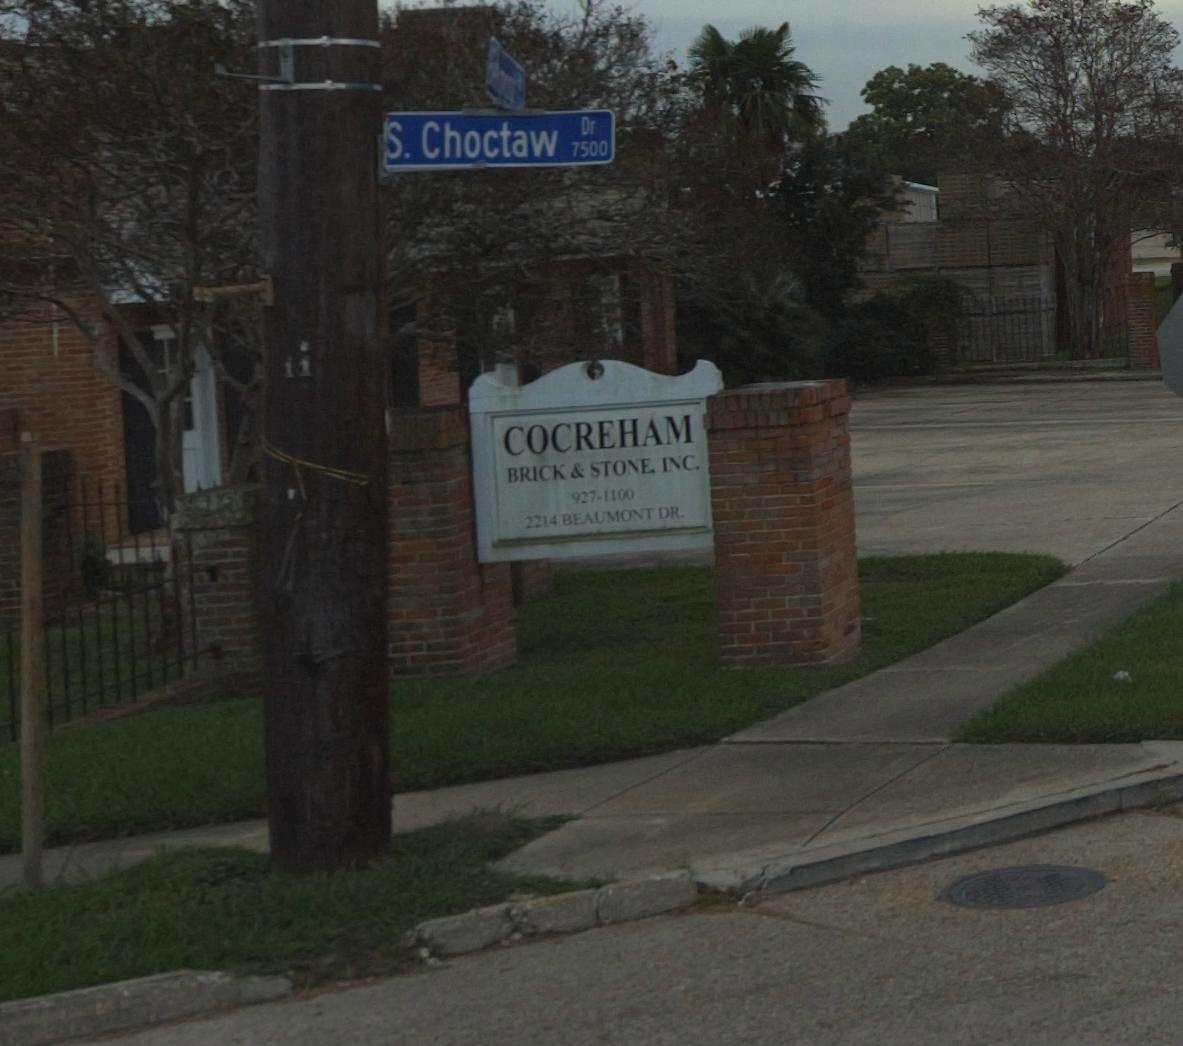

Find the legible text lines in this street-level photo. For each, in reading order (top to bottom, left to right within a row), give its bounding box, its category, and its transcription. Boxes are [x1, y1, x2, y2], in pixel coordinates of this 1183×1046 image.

[384, 114, 598, 161] StreetName: S. Choctaw Dr
[571, 139, 609, 157] StreetNumberRange: 7500
[502, 412, 695, 458] BusinessName: COCREHAM
[506, 453, 697, 484] BusinessName: BRICK & STONE INC
[570, 487, 637, 506] None: 927-1100
[523, 511, 560, 531] StreetNumber: 2214
[561, 505, 682, 527] StreetName: BEAUMONT DR